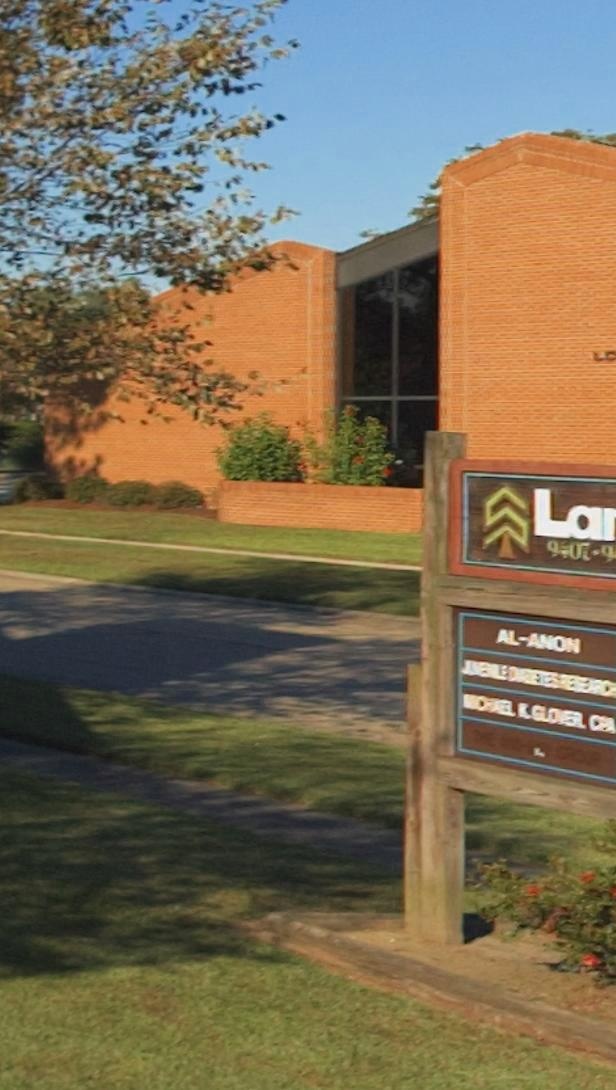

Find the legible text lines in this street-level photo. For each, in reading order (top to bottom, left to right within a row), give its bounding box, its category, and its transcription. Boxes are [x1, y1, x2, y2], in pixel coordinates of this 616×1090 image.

[530, 486, 601, 542] None: La
[544, 536, 594, 565] StreetNumber: 9407
[599, 543, 615, 567] StreetNumber: 9
[495, 627, 583, 656] None: AL-ANON